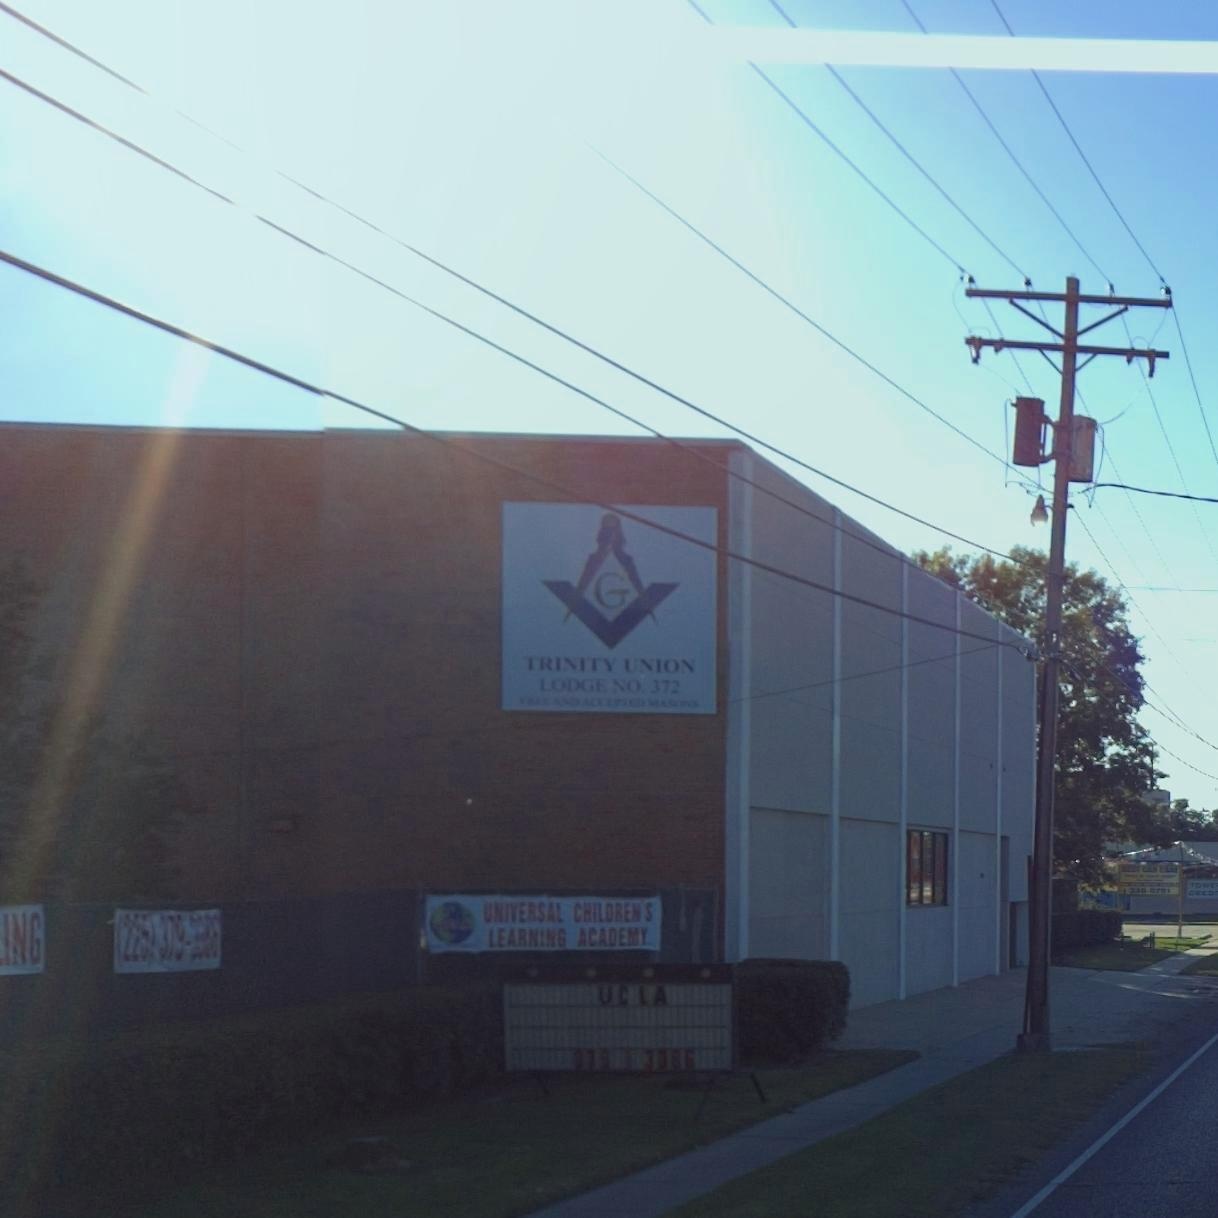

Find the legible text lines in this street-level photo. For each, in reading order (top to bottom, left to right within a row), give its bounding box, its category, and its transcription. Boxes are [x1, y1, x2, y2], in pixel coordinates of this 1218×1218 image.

[593, 570, 631, 610] None: G
[520, 654, 697, 675] BusinessName: TRINITY UNION
[537, 676, 681, 696] BusinessName: LODGE NO. 372
[482, 899, 654, 924] BusinessName: UNIVERSAL CHILDREN'S
[3, 909, 42, 967] None: ING
[115, 910, 221, 969] None: (225)379-****
[488, 925, 650, 949] BusinessName: LEARNING ACADEMY
[596, 983, 670, 1007] None: UCLA
[573, 1046, 698, 1073] None: ***3786